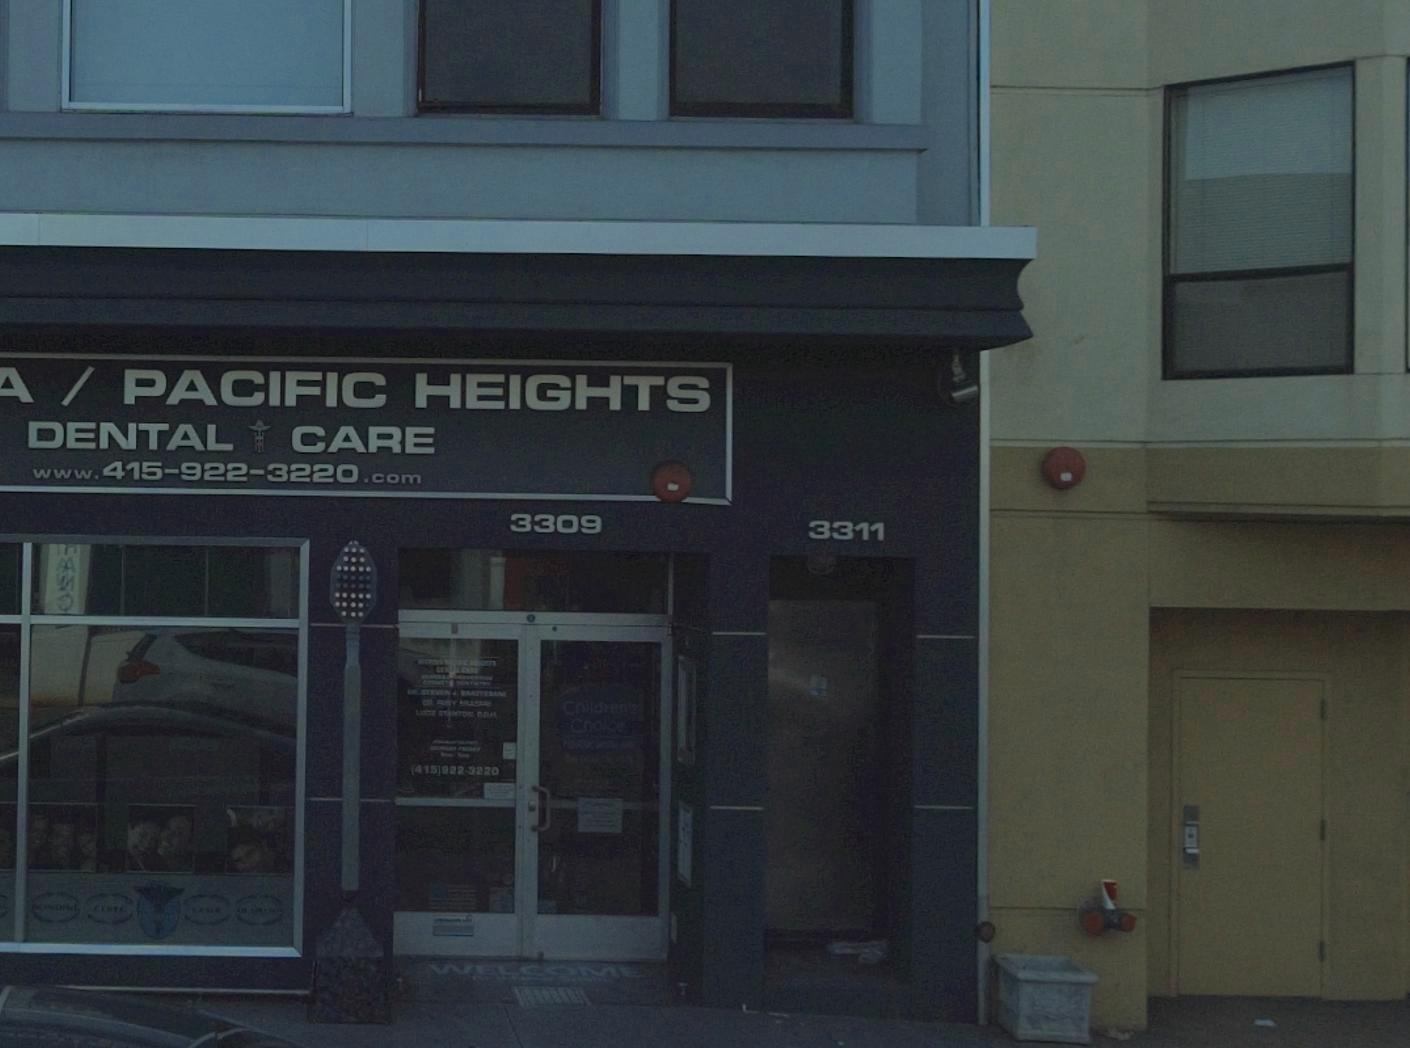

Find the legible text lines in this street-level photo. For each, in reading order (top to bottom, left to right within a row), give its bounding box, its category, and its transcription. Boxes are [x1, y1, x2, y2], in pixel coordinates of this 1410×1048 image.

[120, 365, 717, 415] BusinessName: PACIFIC HEIGHTS
[23, 417, 439, 457] BusinessName: DENTAL * CARE
[27, 458, 426, 487] None: www.415-922-3220.com
[507, 511, 605, 537] StreetNumber: 3309
[806, 517, 887, 544] StreetNumber: 3311
[559, 697, 642, 719] None: Children's
[567, 715, 630, 737] None: Choice
[408, 762, 502, 778] None: (415)922-3220
[424, 961, 649, 980] None: WELCOME